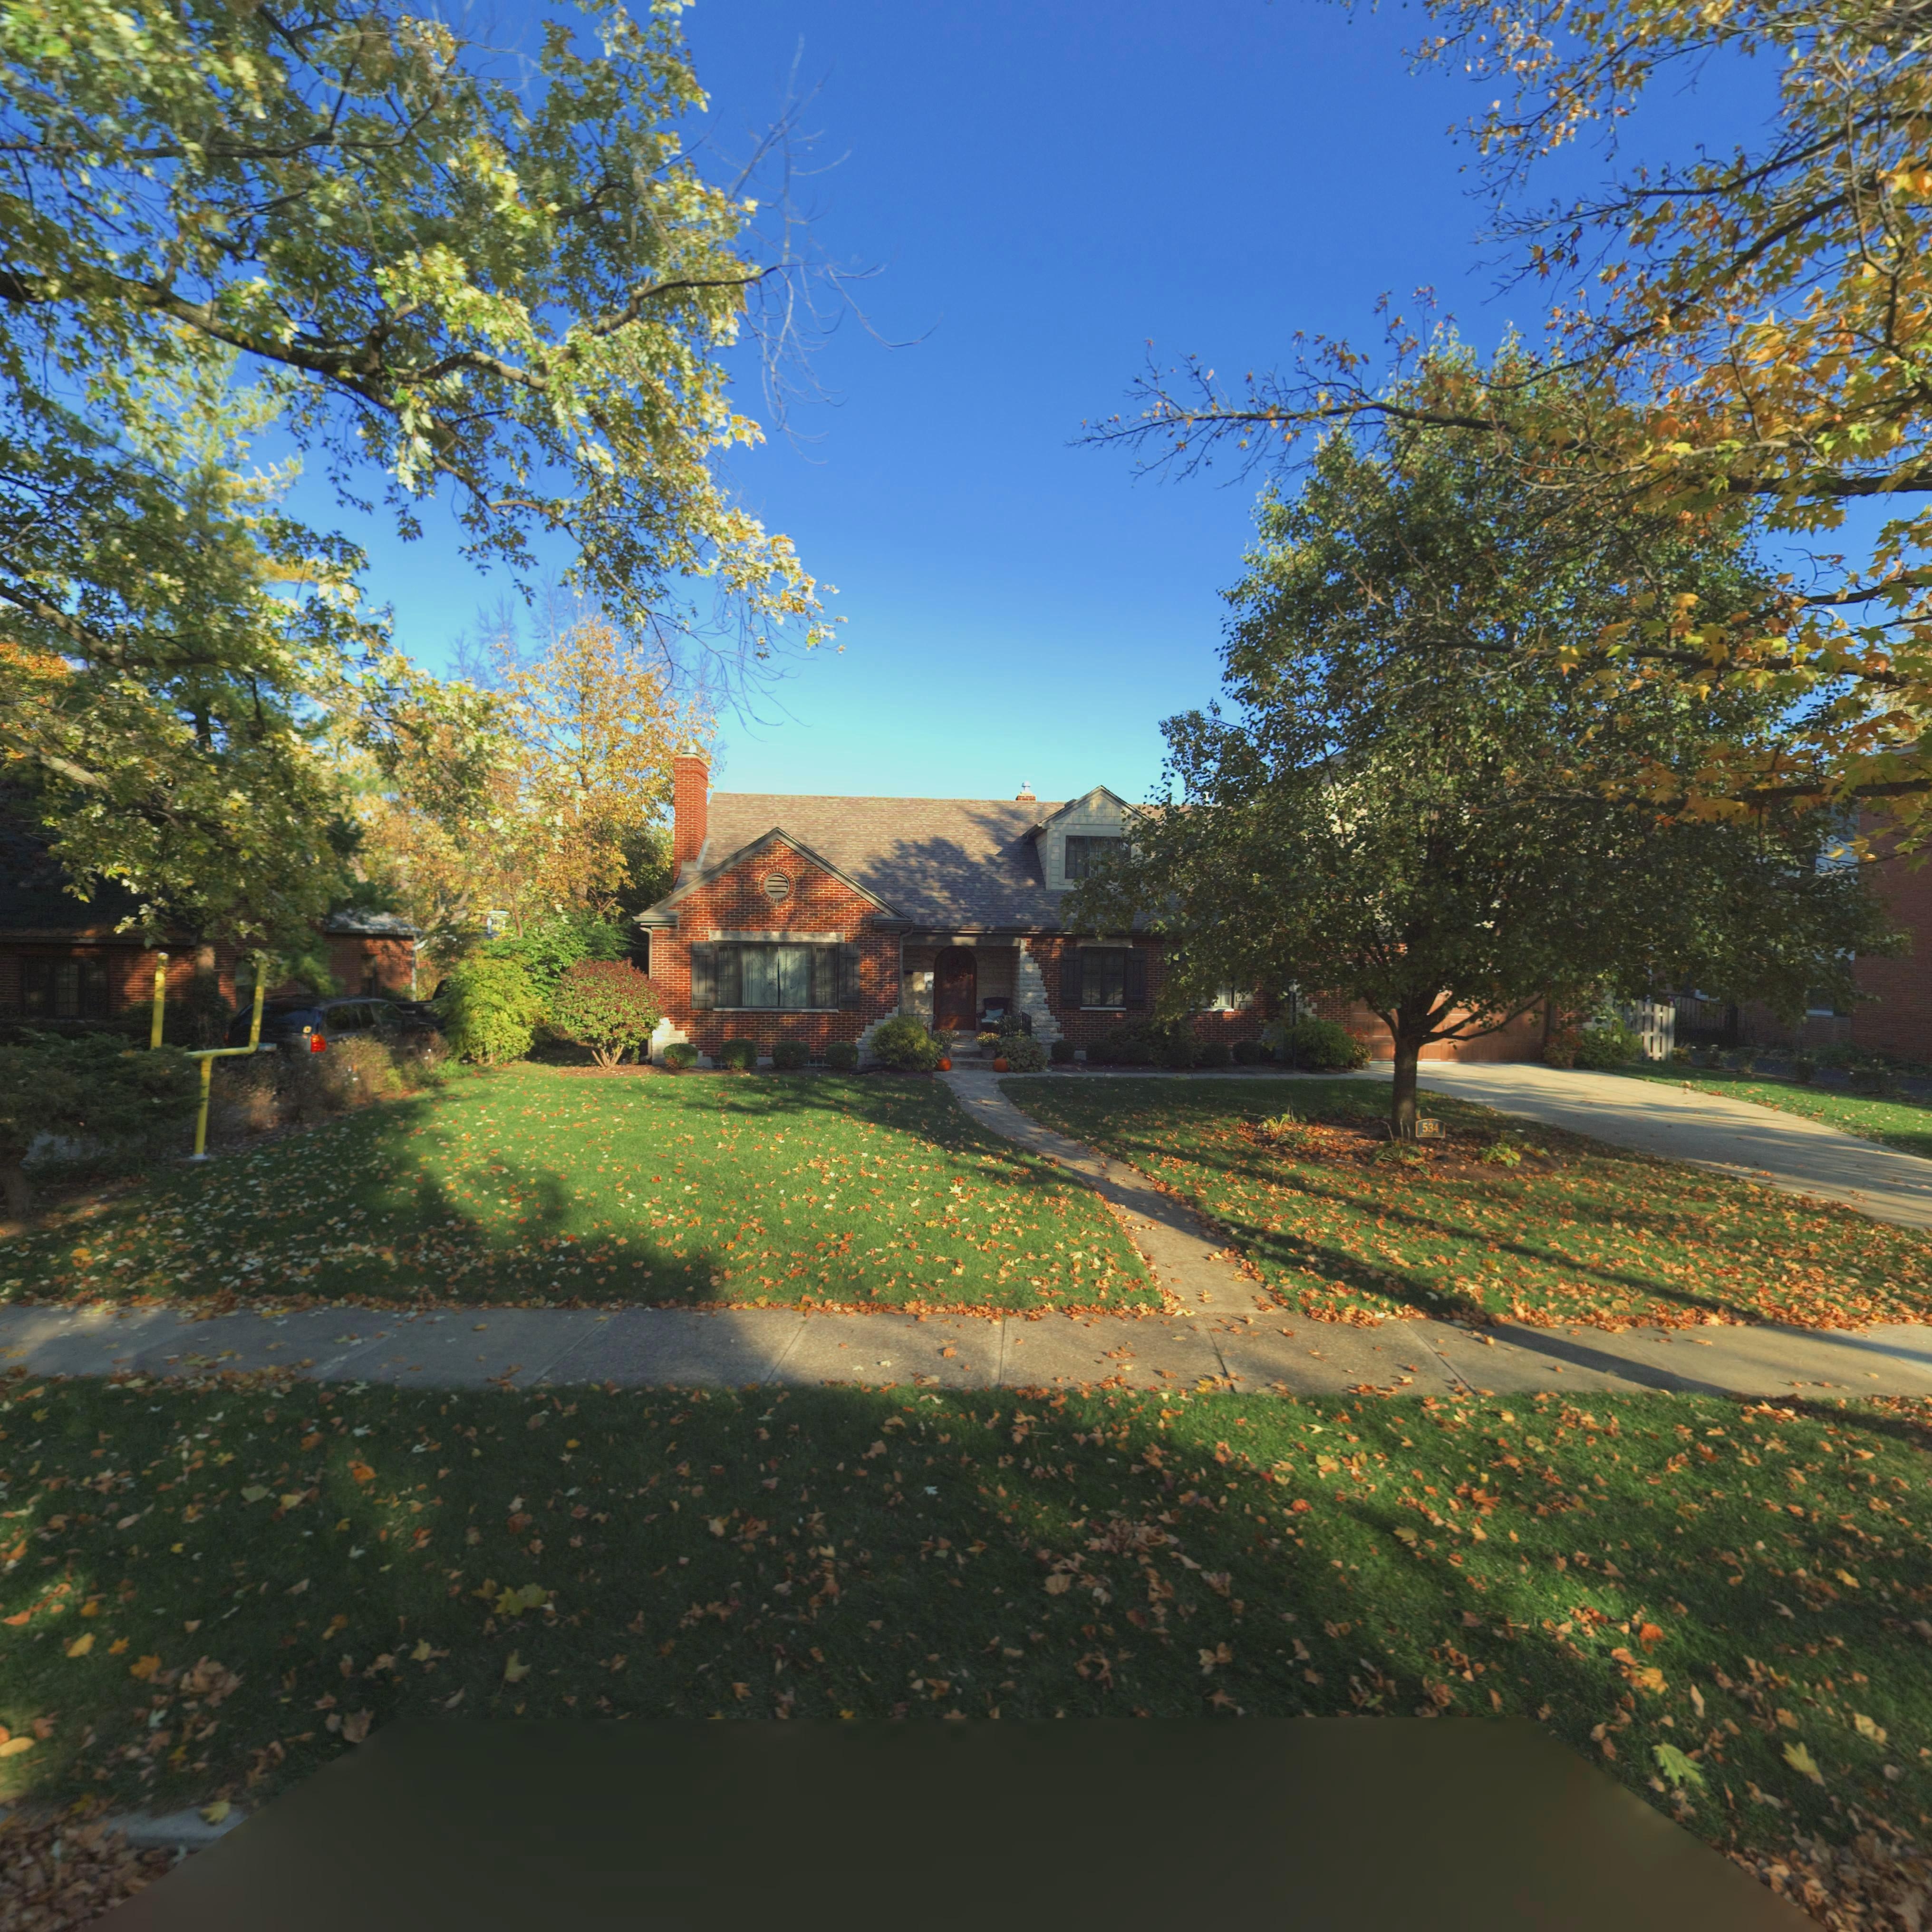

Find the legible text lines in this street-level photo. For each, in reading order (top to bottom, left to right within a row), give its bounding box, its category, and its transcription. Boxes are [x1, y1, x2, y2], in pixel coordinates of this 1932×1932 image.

[1421, 1122, 1439, 1133] StreetNumber: 534